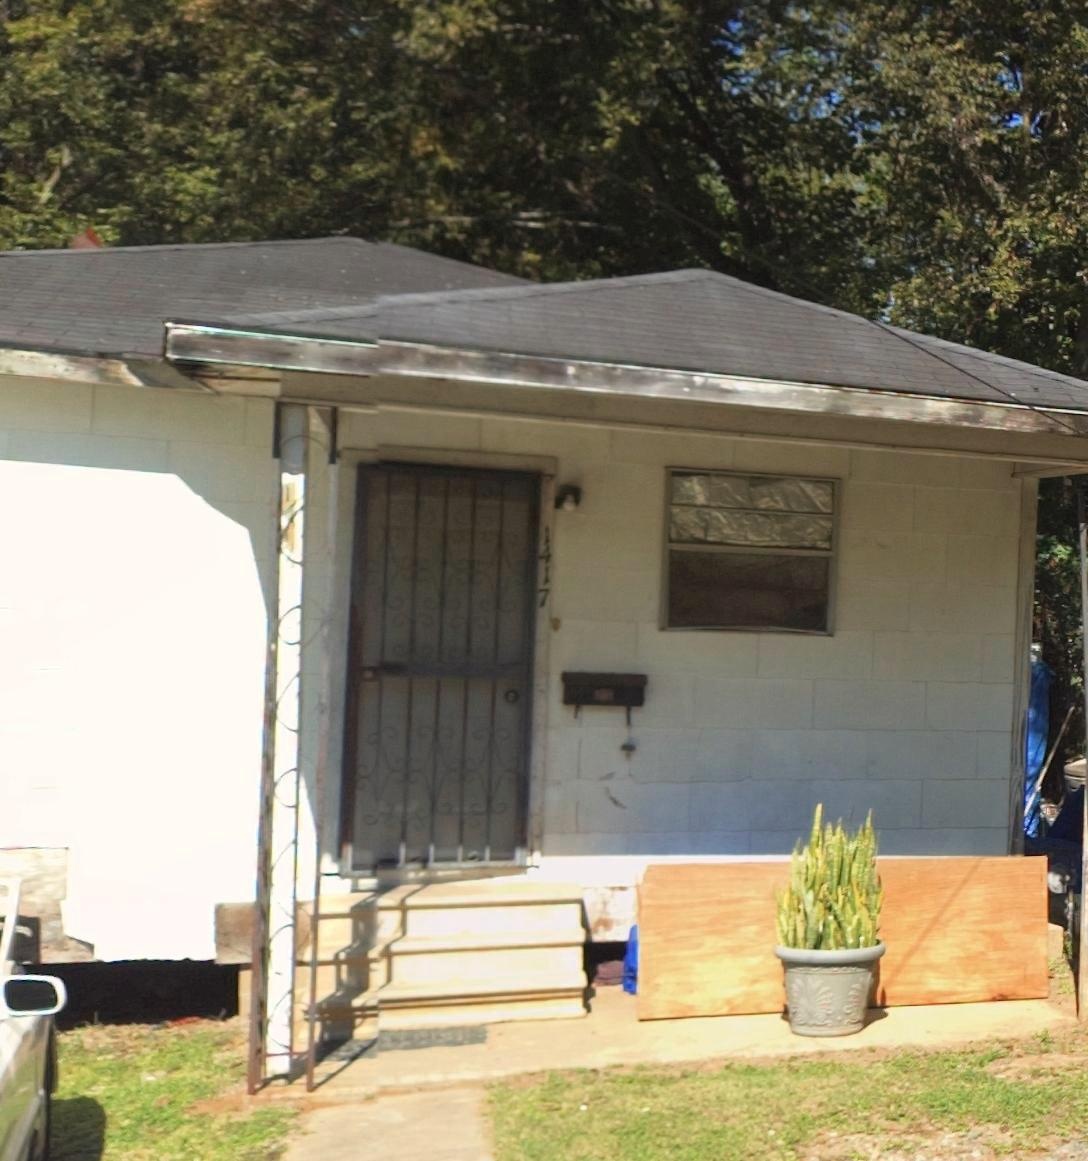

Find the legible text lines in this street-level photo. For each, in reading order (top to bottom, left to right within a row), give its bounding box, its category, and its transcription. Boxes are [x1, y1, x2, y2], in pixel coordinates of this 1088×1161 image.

[534, 522, 554, 610] StreetNumber: 1417